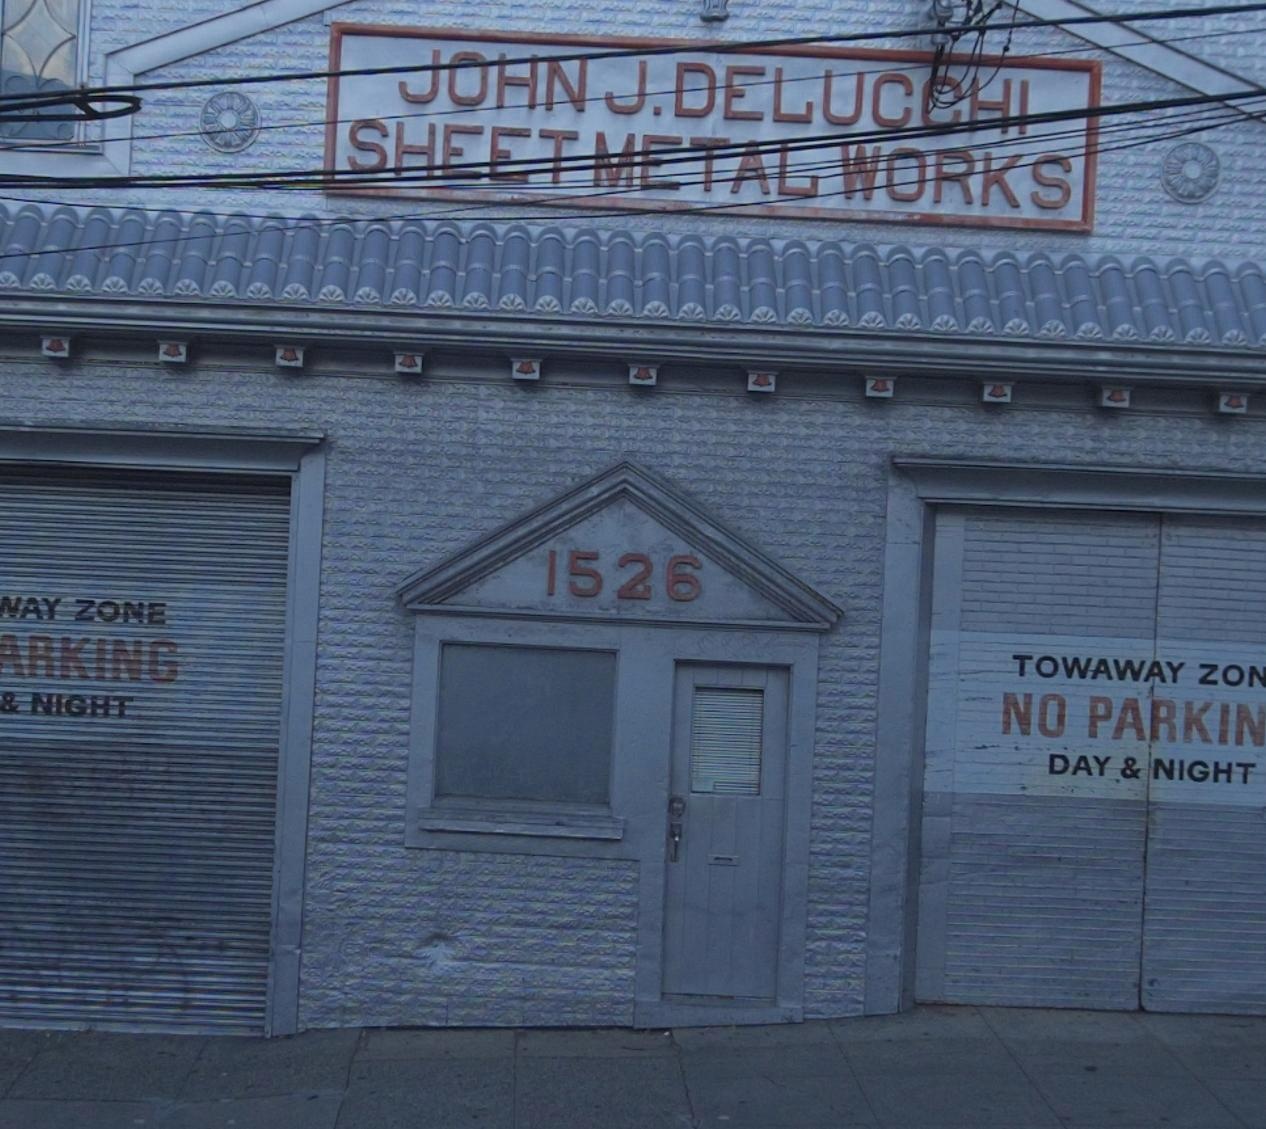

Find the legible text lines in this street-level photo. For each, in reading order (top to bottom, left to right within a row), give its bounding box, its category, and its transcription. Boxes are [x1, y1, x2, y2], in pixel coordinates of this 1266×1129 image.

[602, 57, 915, 132] BusinessName: J.DELU
[545, 547, 705, 604] StreetNumber: 1526
[16, 595, 169, 626] None: AY ZONE
[26, 632, 182, 685] None: RKING
[1010, 653, 1247, 688] None: TOWAWAY ZO
[28, 690, 138, 720] None: NIGHT
[1000, 689, 1233, 747] None: NO PARKI
[1048, 750, 1260, 785] None: DAY & NIGHT